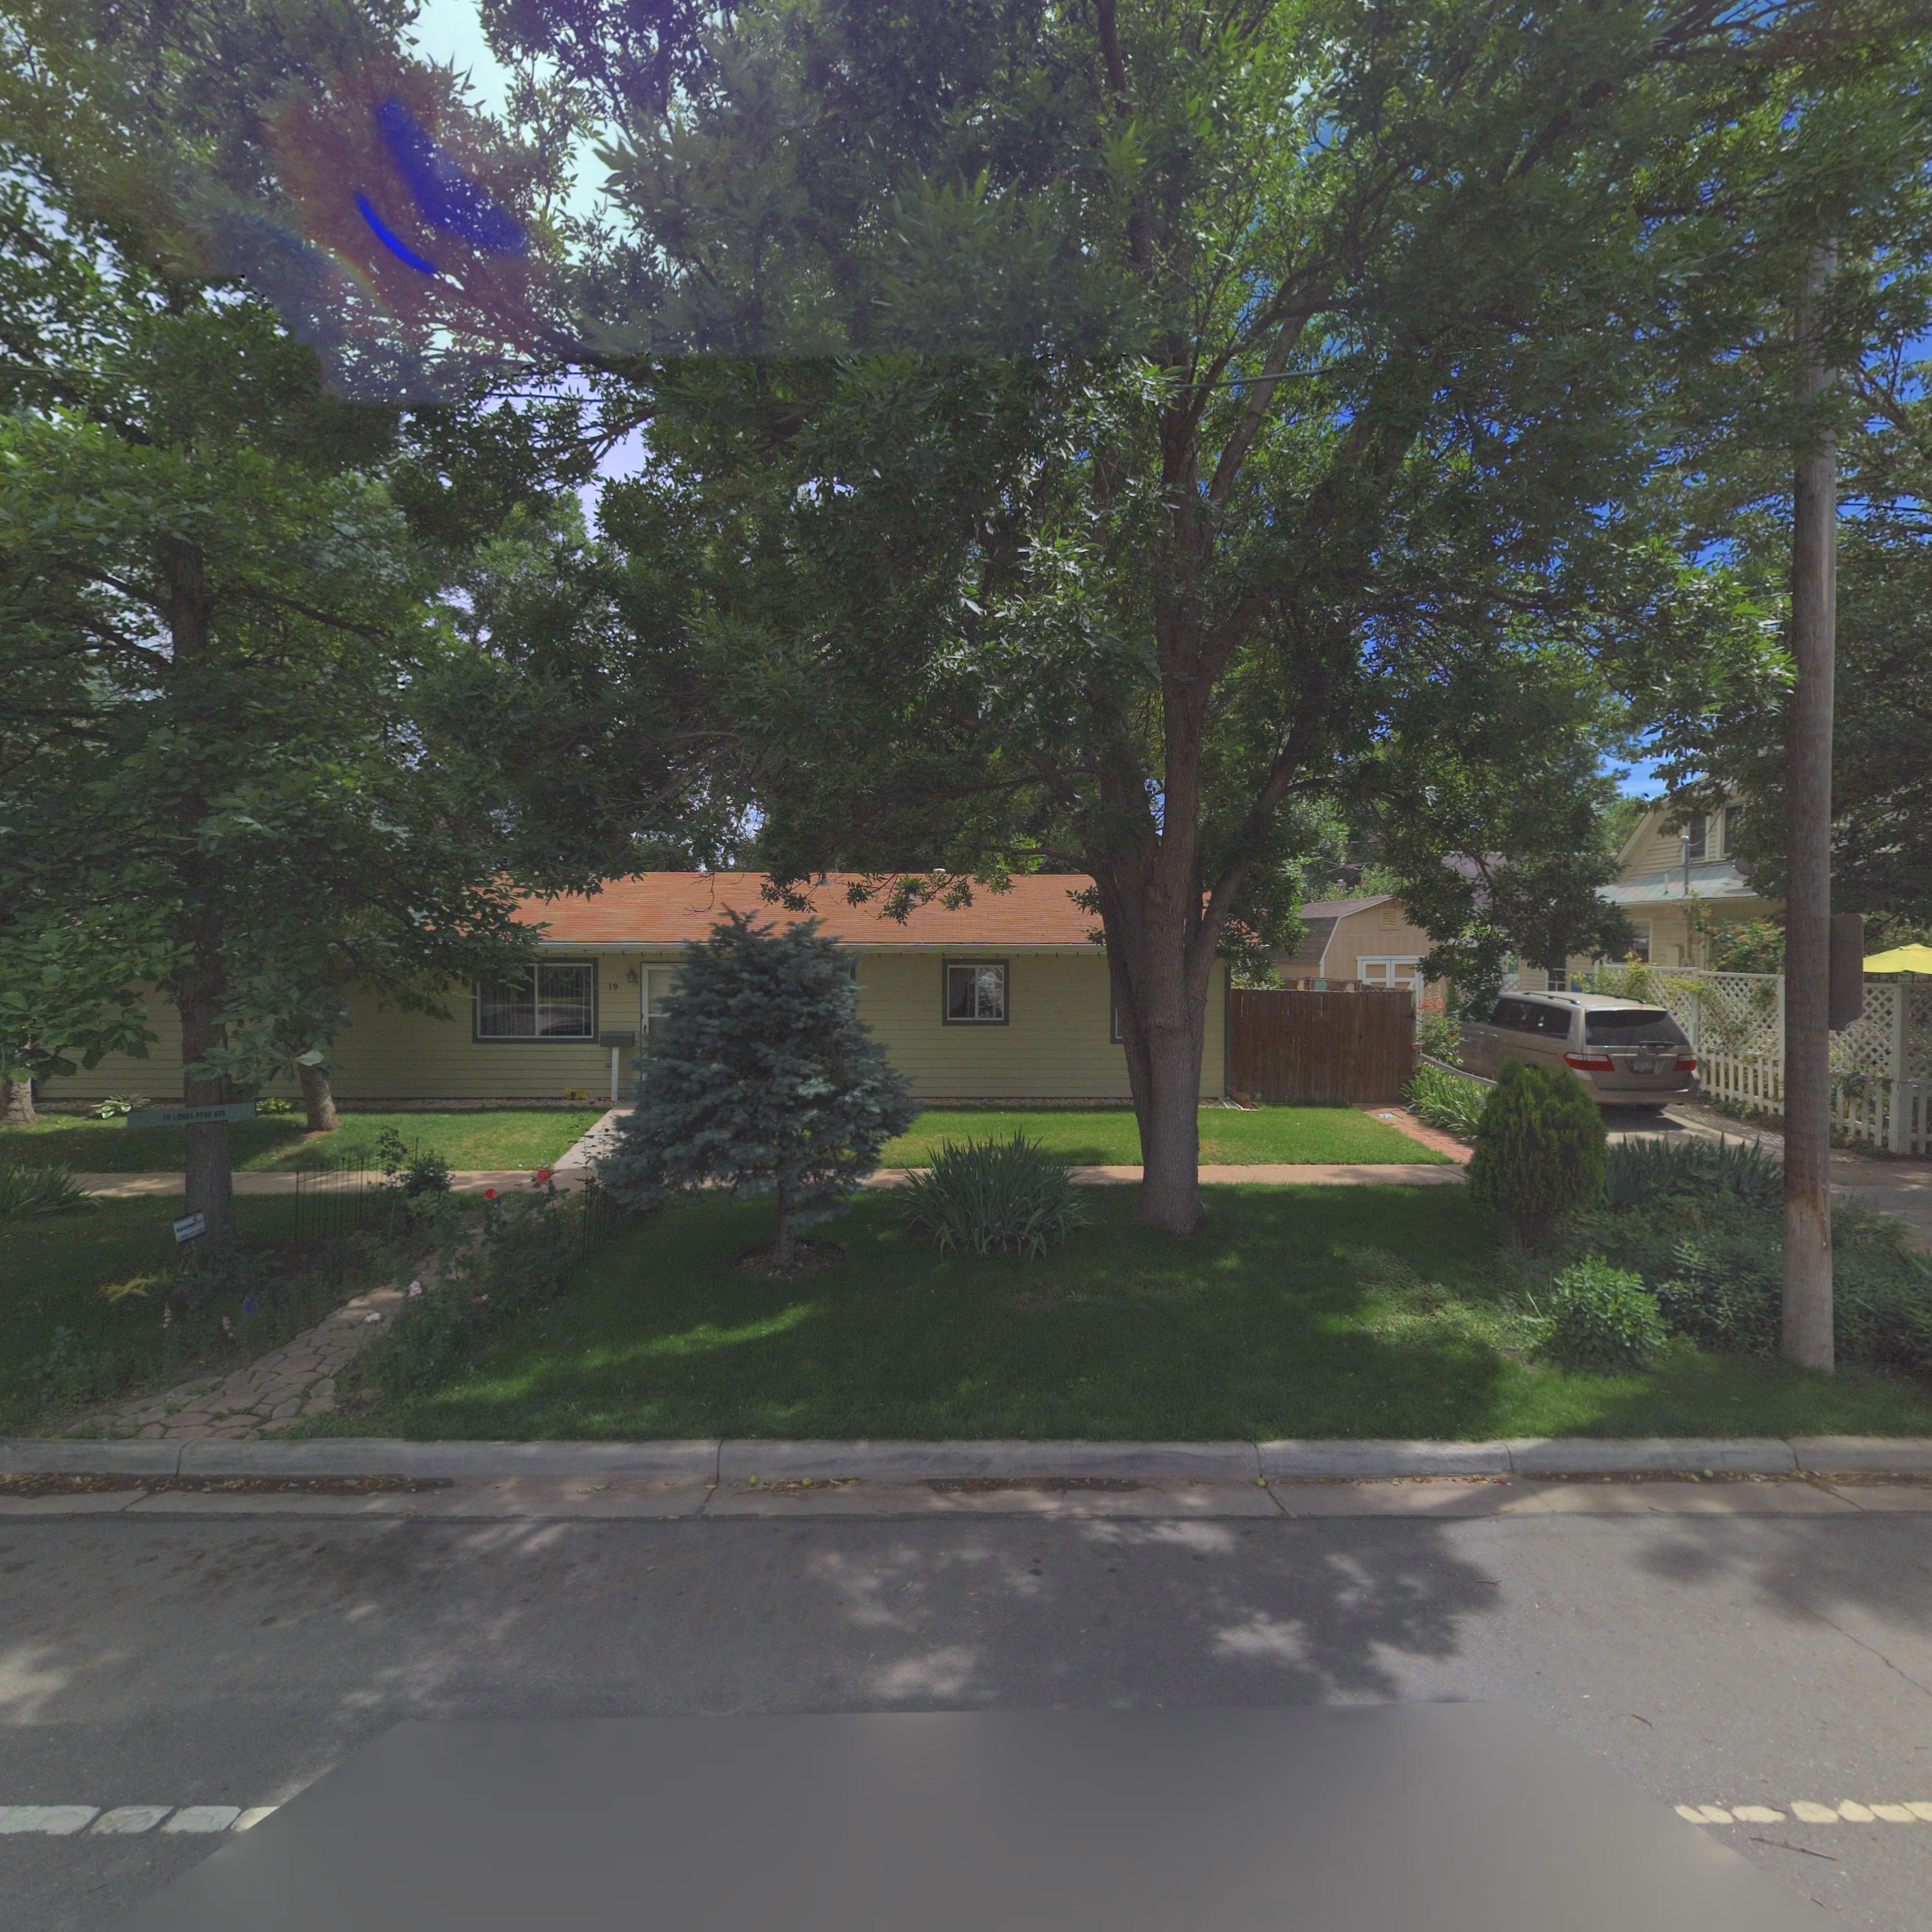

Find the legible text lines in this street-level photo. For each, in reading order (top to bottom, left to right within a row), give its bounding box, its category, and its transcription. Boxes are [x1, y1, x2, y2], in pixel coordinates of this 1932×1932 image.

[609, 982, 618, 991] StreetName: 19
[163, 1113, 172, 1121] StreetNumber: 10
[172, 1109, 227, 1121] StreetName: LONGS PEAK AVE